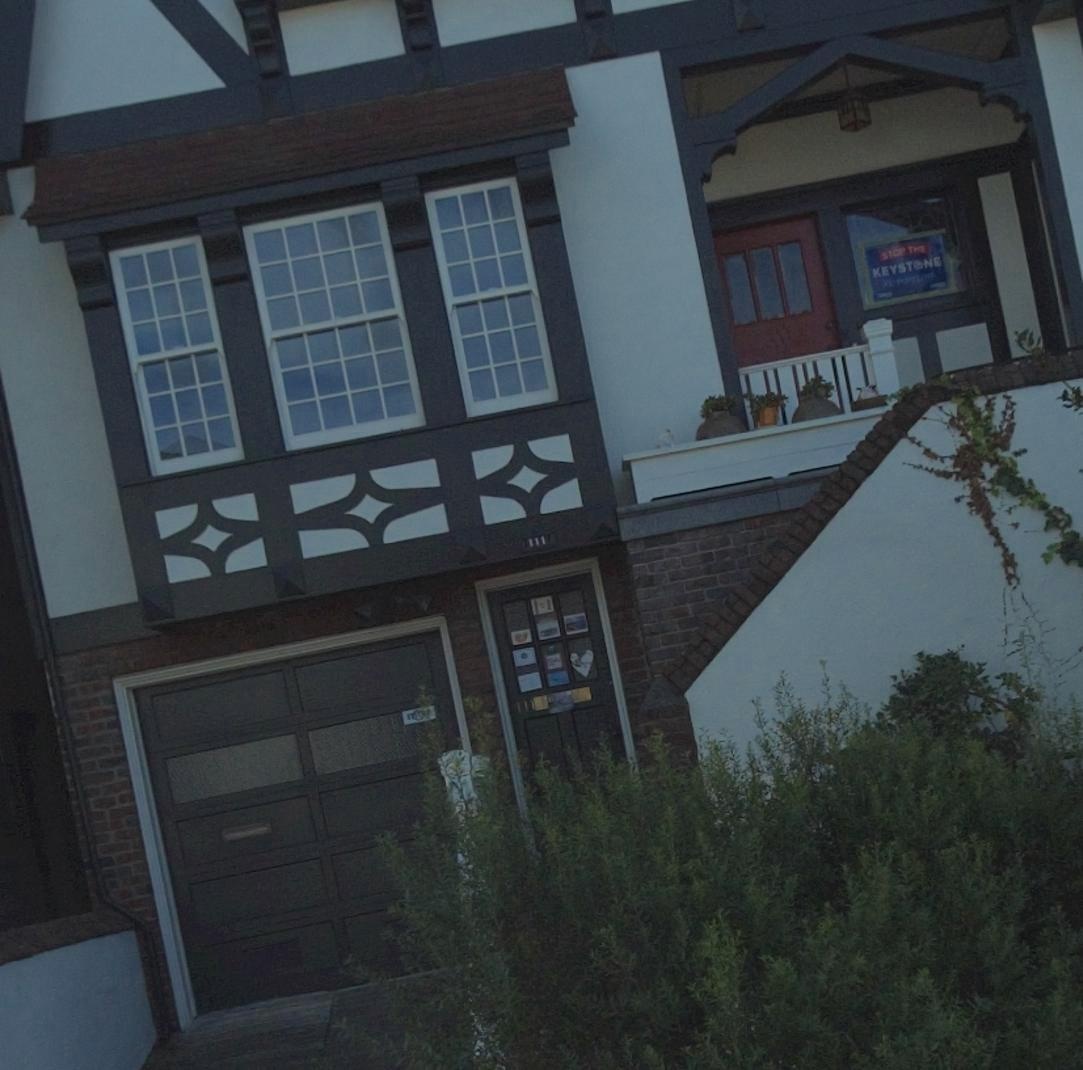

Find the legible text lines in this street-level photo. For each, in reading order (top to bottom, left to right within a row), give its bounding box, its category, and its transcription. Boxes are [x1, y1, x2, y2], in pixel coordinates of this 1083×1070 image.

[880, 246, 907, 261] None: STOP
[909, 245, 929, 255] None: T***
[871, 255, 943, 280] None: KEYSTONE
[528, 534, 548, 548] StreetNumber: 111